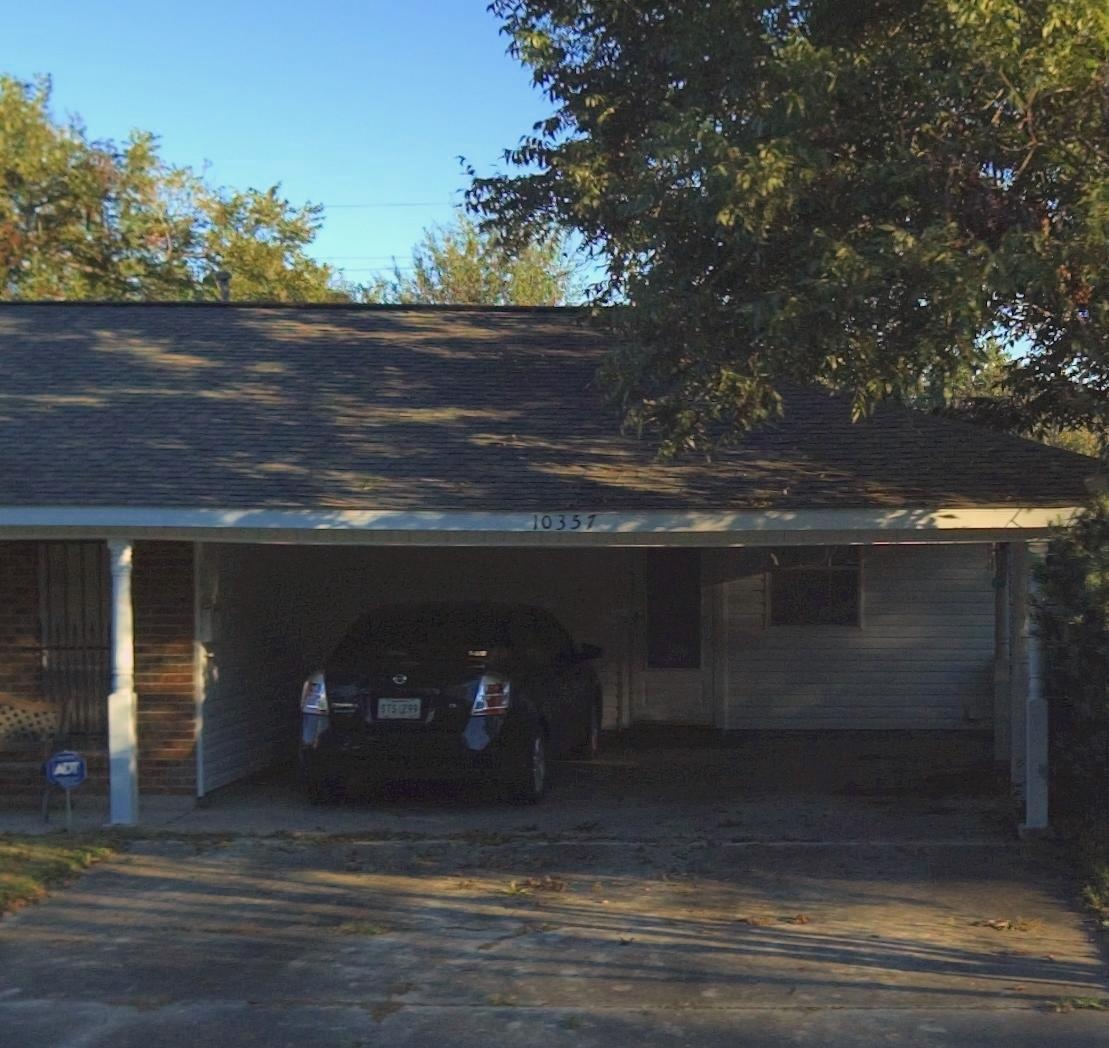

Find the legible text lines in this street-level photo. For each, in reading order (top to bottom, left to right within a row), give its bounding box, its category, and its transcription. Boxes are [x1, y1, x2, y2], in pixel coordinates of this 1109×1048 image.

[531, 512, 598, 532] StreetNumber: 10357
[377, 700, 421, 716] None: *T* 299
[50, 759, 83, 778] None: ADT